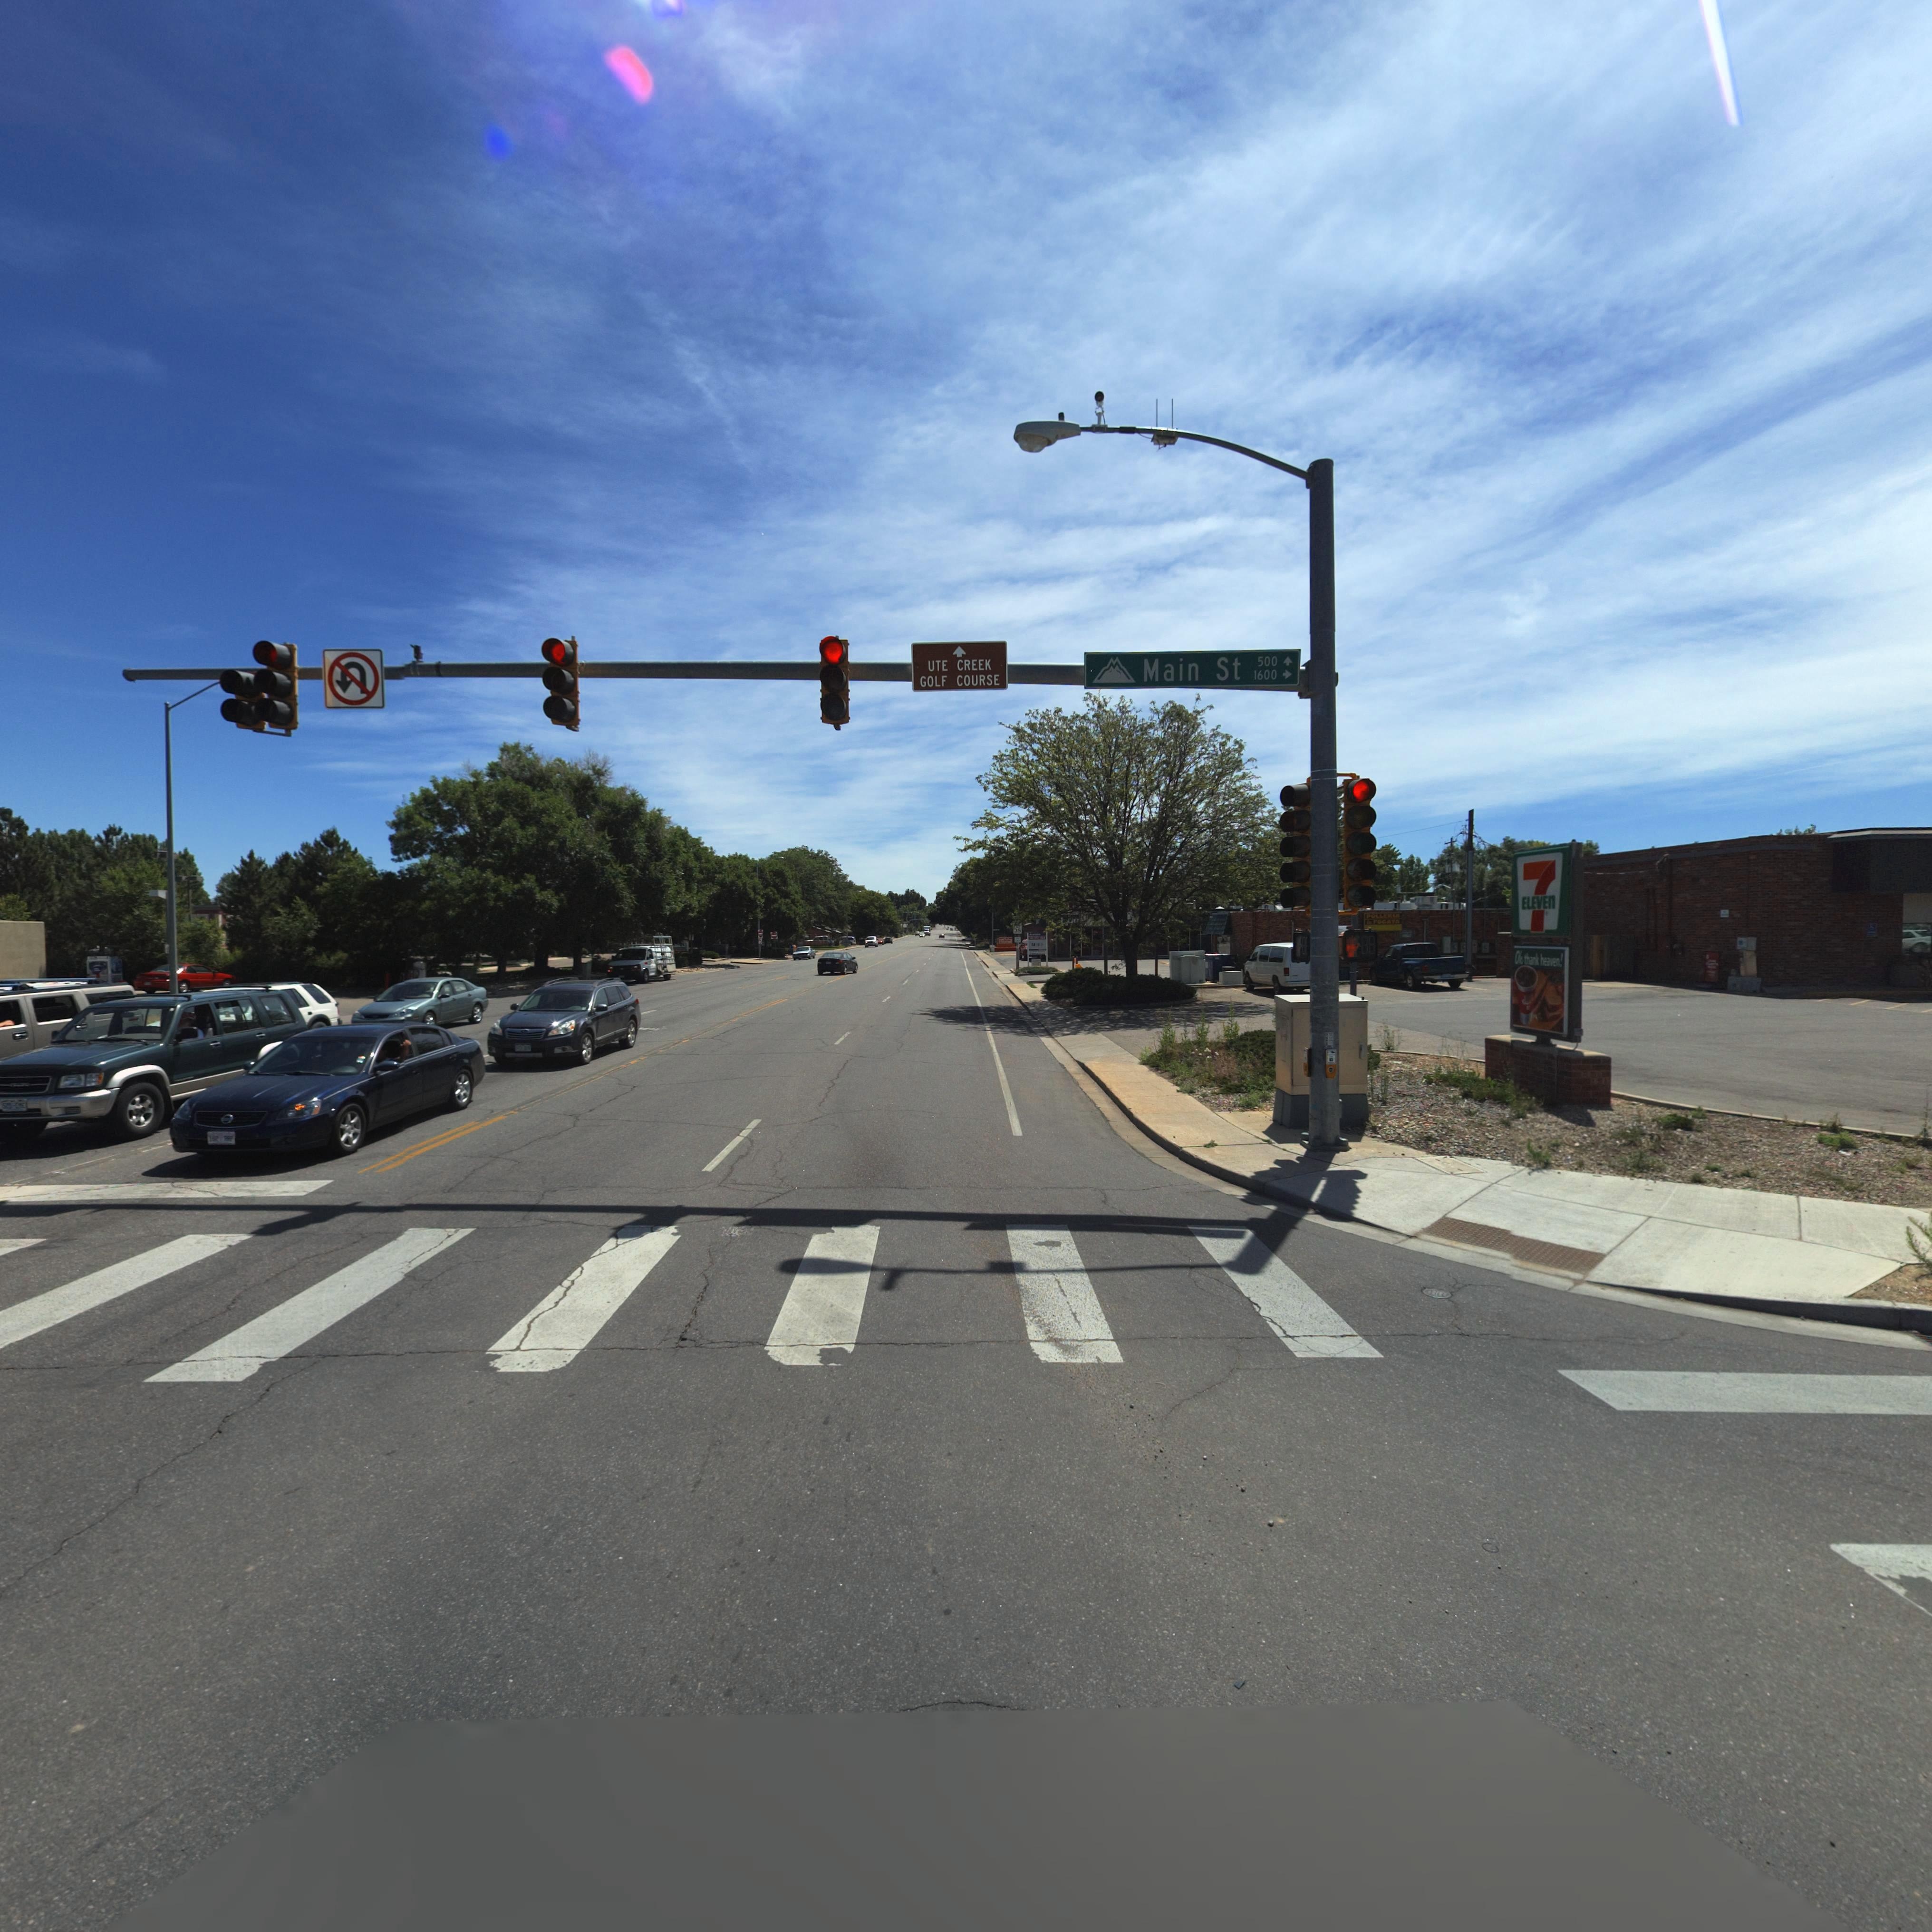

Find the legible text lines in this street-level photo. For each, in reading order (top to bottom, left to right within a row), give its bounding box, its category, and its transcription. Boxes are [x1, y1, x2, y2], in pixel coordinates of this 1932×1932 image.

[1257, 655, 1278, 667] StreetNumberRange: 500
[1143, 656, 1241, 682] StreetName: Main St
[1253, 669, 1292, 680] StreetNumberRange: 1600->
[1522, 859, 1556, 933] BusinessName: 7
[1521, 894, 1556, 910] BusinessName: ELEVEn
[1366, 913, 1401, 918] BusinessName: POLL*RIA
[1366, 919, 1400, 925] BusinessName: la FOG*T*